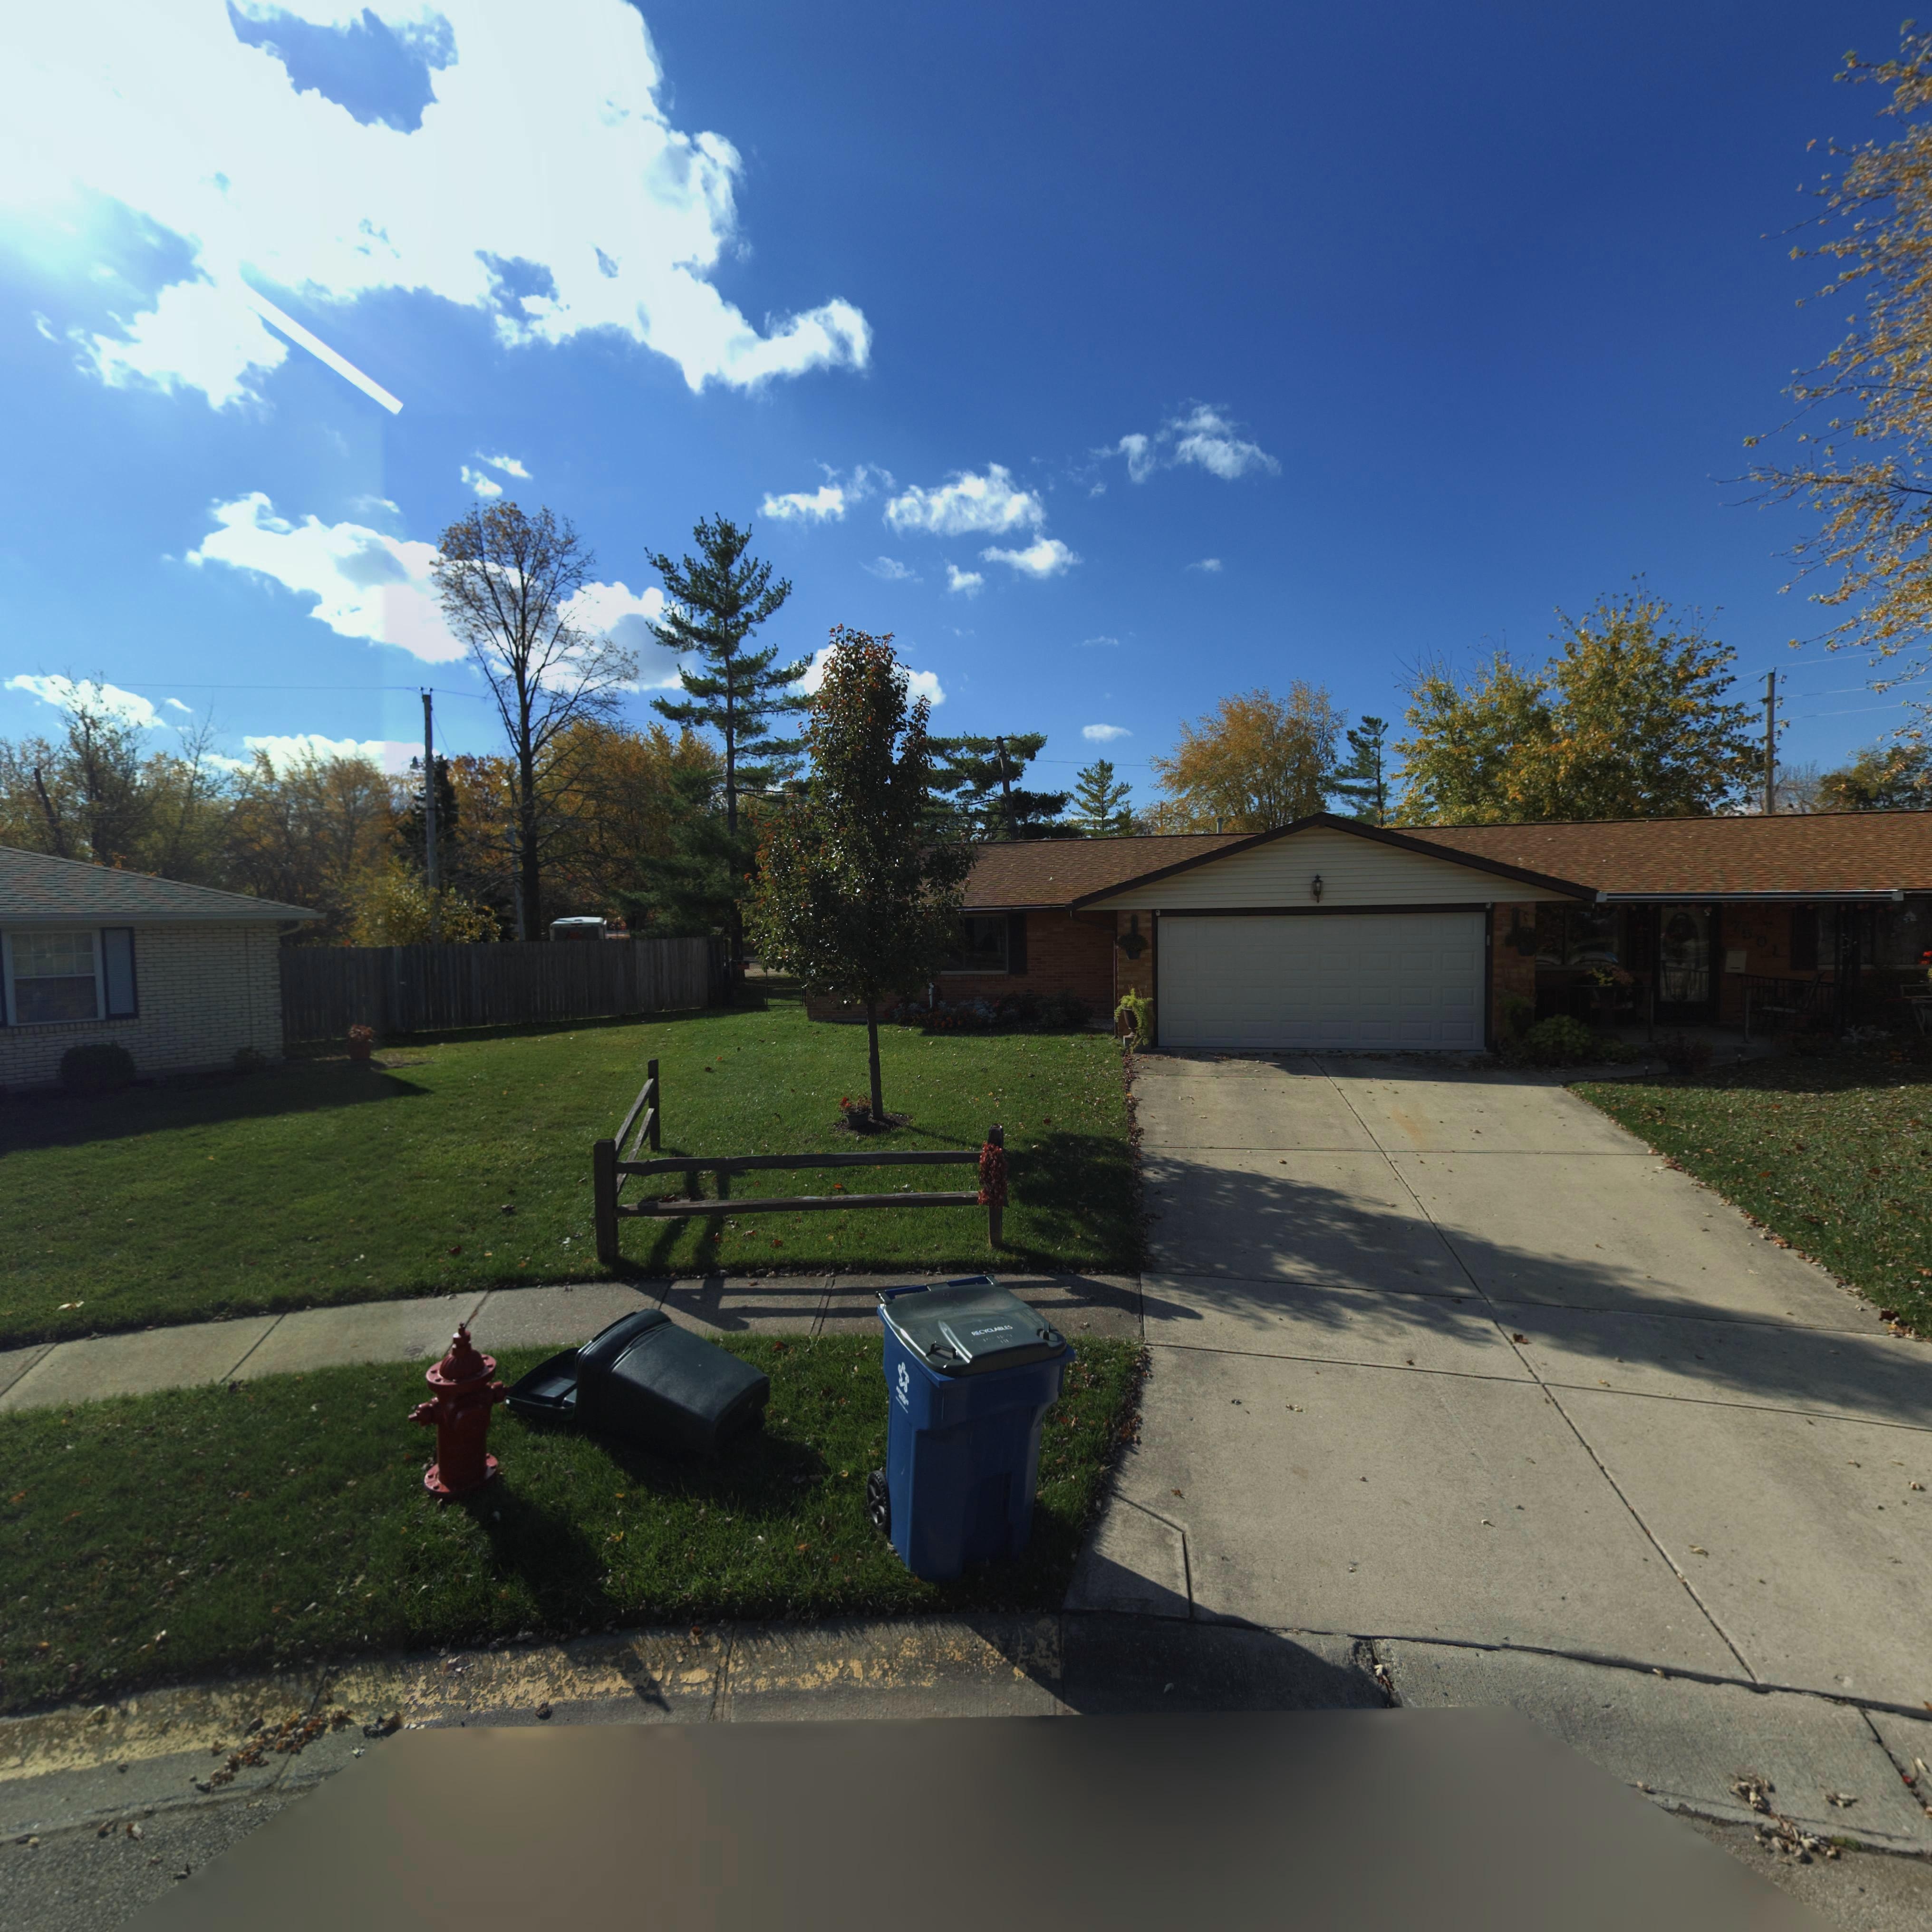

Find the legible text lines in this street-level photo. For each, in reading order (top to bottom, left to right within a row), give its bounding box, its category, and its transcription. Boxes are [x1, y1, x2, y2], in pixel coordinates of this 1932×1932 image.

[1729, 919, 1779, 958] StreetNumber: 7501